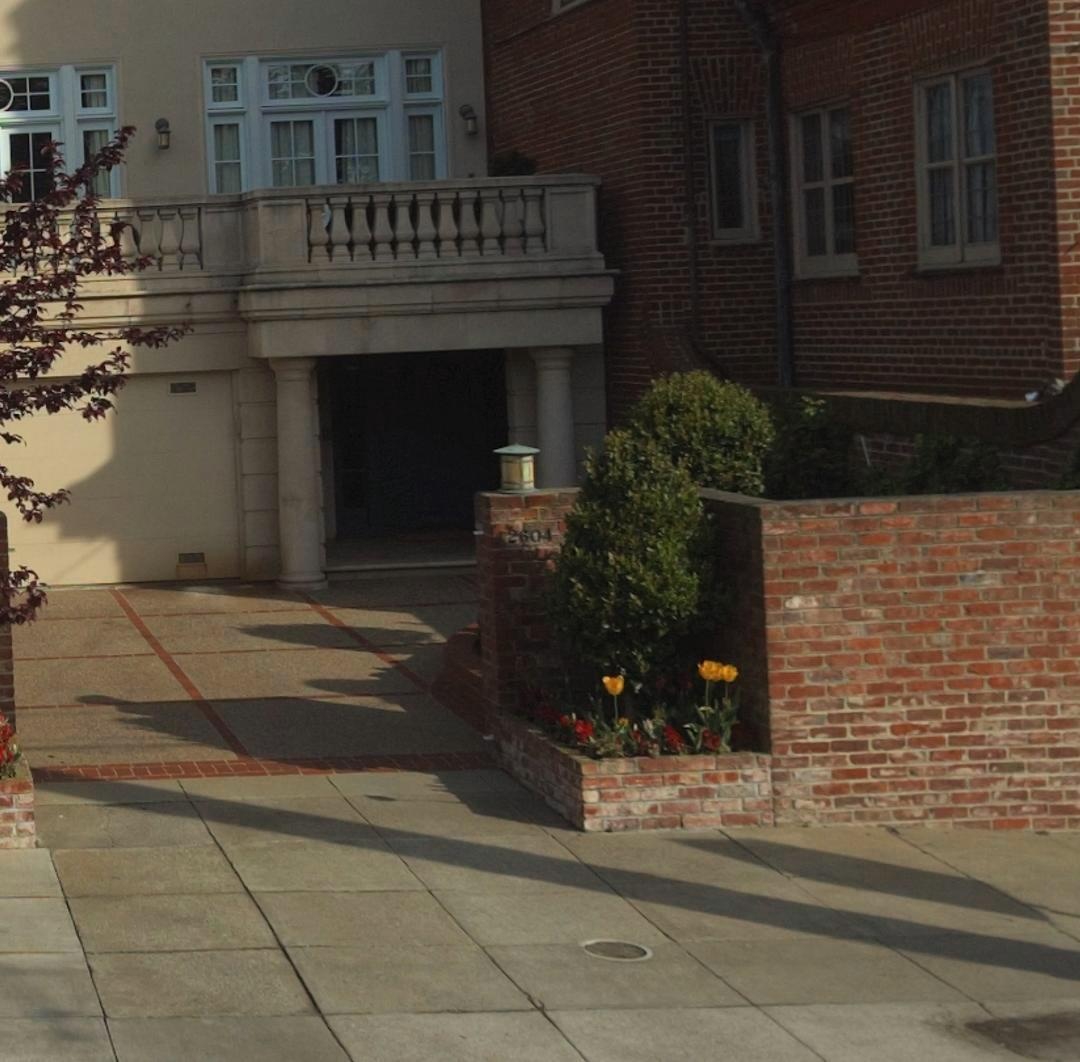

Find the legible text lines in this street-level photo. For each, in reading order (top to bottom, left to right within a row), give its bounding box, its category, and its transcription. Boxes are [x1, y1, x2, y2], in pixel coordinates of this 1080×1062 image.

[506, 526, 554, 545] StreetNumber: 2604